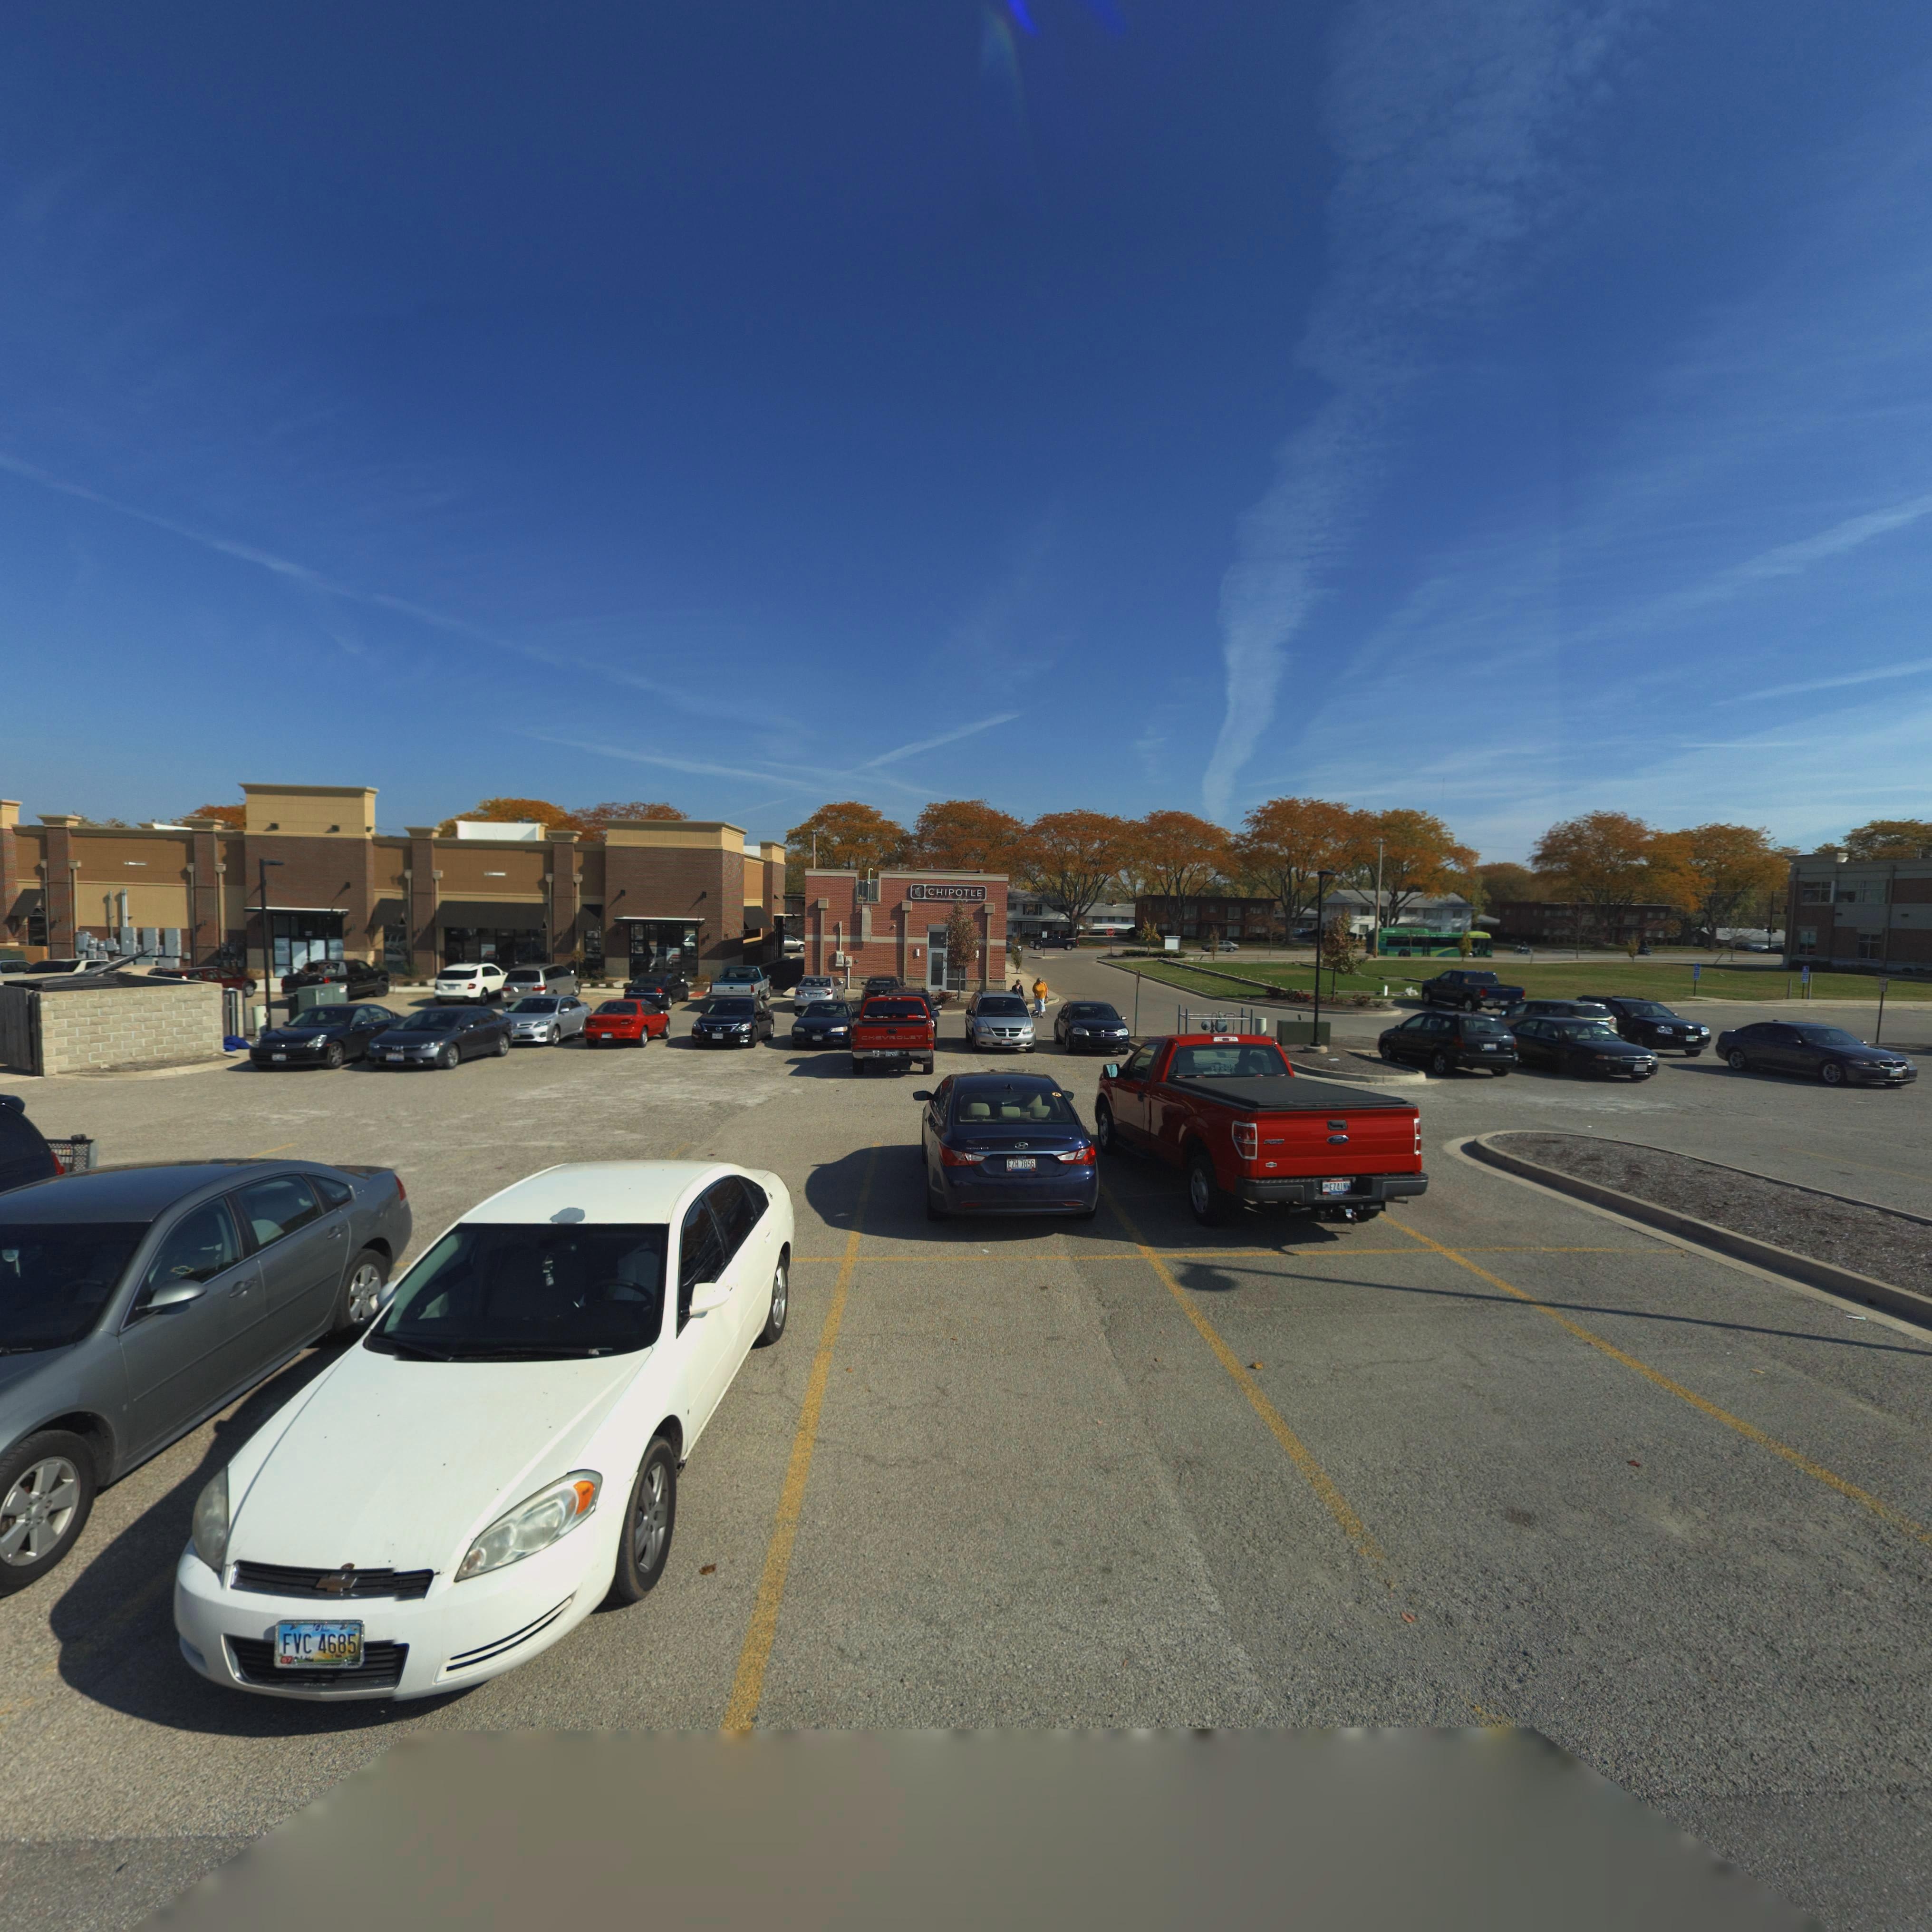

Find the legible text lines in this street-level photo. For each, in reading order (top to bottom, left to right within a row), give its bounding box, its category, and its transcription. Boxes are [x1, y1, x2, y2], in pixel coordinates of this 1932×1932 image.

[927, 887, 983, 898] BusinessName: CHIPOTLE